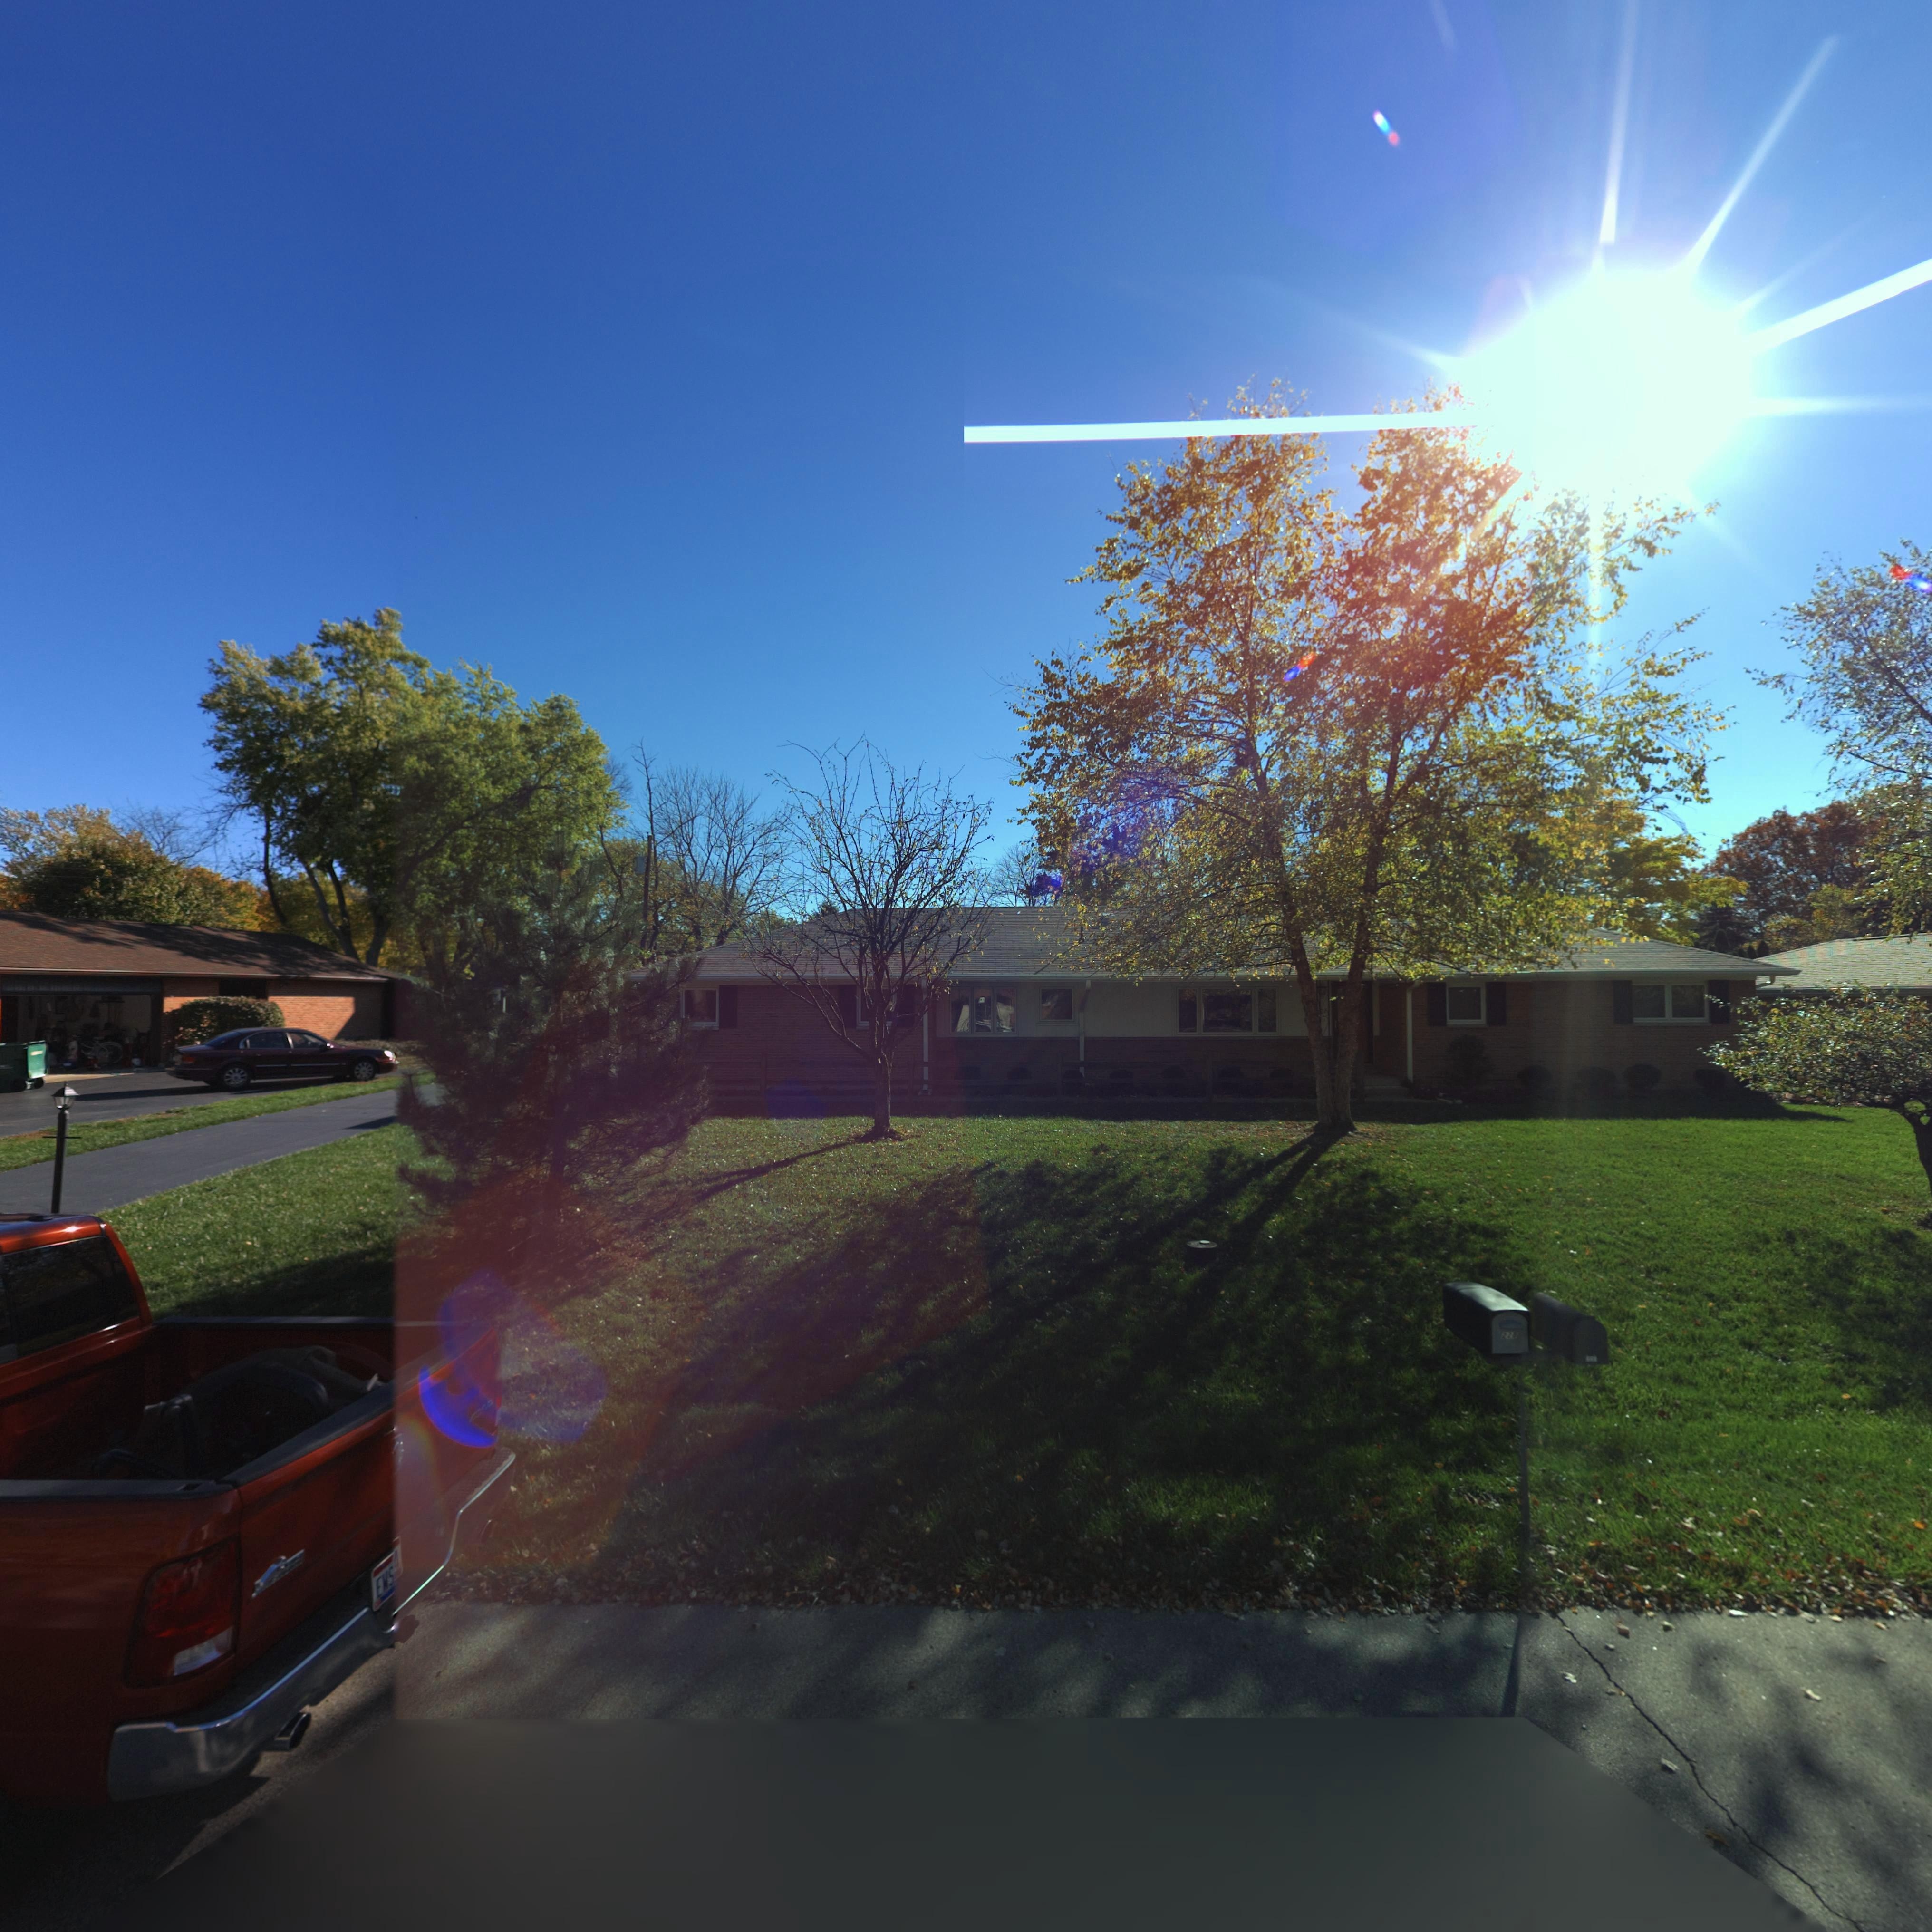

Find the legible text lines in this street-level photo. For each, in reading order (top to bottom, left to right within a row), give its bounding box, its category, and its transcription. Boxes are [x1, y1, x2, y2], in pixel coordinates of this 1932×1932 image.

[1501, 1331, 1518, 1338] StreetNumber: 228